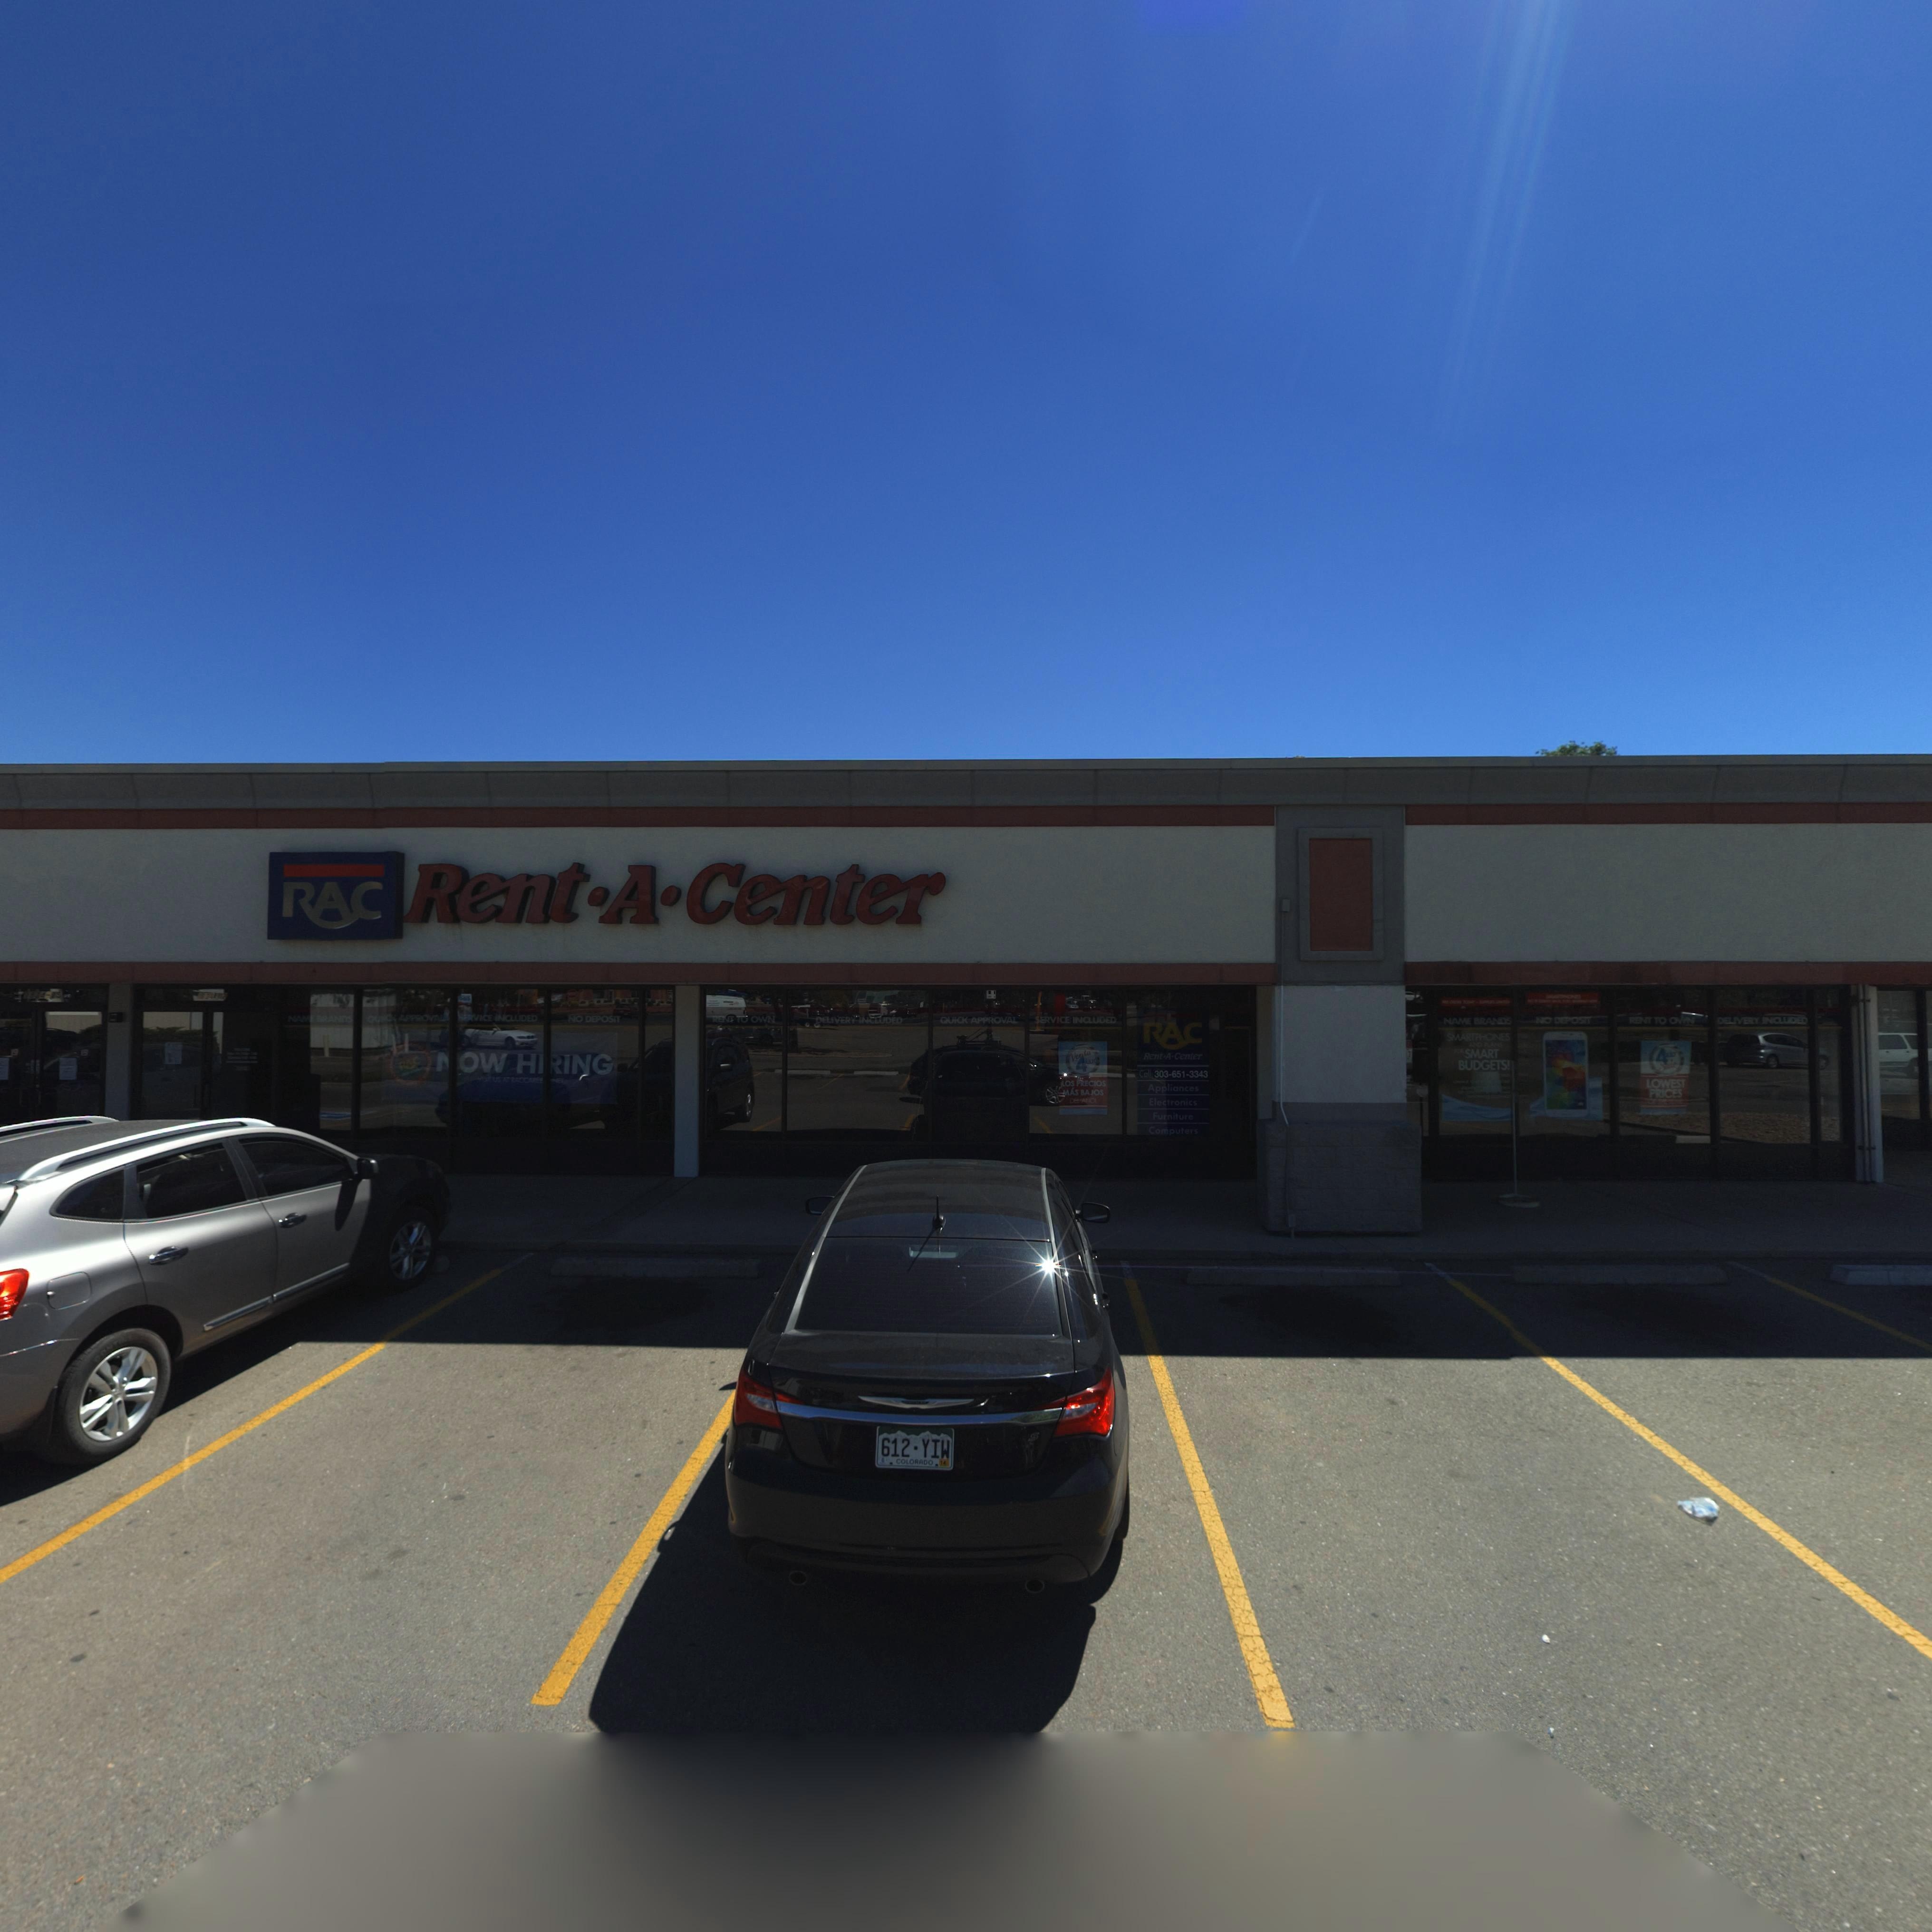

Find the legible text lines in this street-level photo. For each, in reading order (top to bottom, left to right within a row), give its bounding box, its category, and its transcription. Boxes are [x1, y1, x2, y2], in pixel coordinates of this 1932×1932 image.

[282, 880, 381, 930] BusinessName: RAC
[404, 863, 946, 927] BusinessName: Rent*A*Center
[22, 991, 62, 999] StreetNumber: *834-*5
[197, 992, 227, 1000] StreetNumber: **34-**